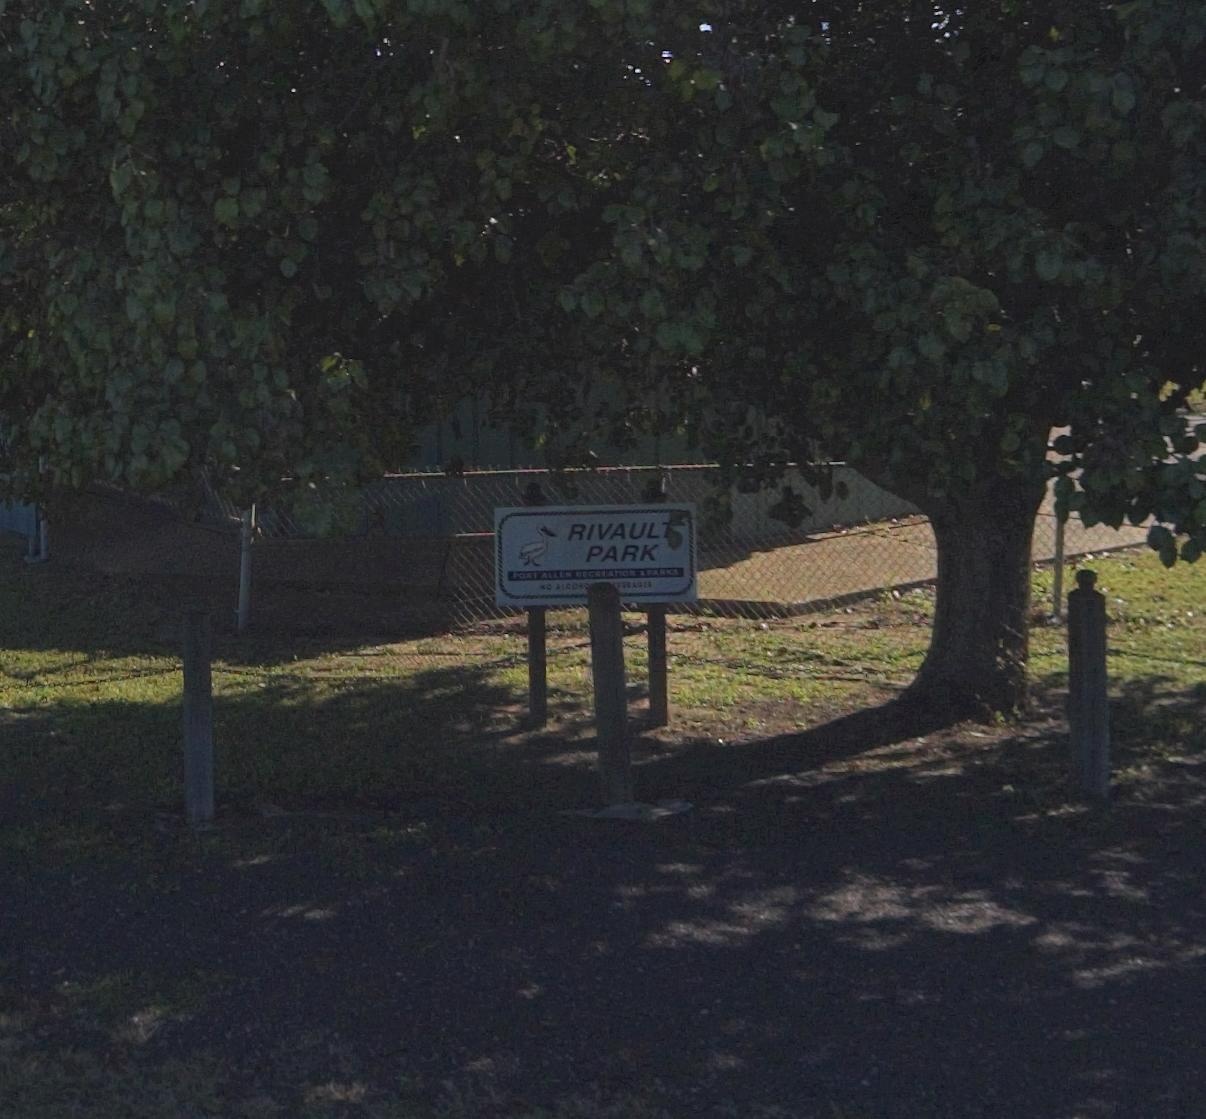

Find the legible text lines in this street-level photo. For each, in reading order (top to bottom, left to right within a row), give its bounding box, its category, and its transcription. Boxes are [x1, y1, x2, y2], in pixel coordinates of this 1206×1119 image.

[566, 521, 678, 542] BusinessName: RIVAUL*
[584, 544, 660, 563] BusinessName: PARK
[511, 568, 679, 580] None: PORT ALLEN RECREATION & PARKS